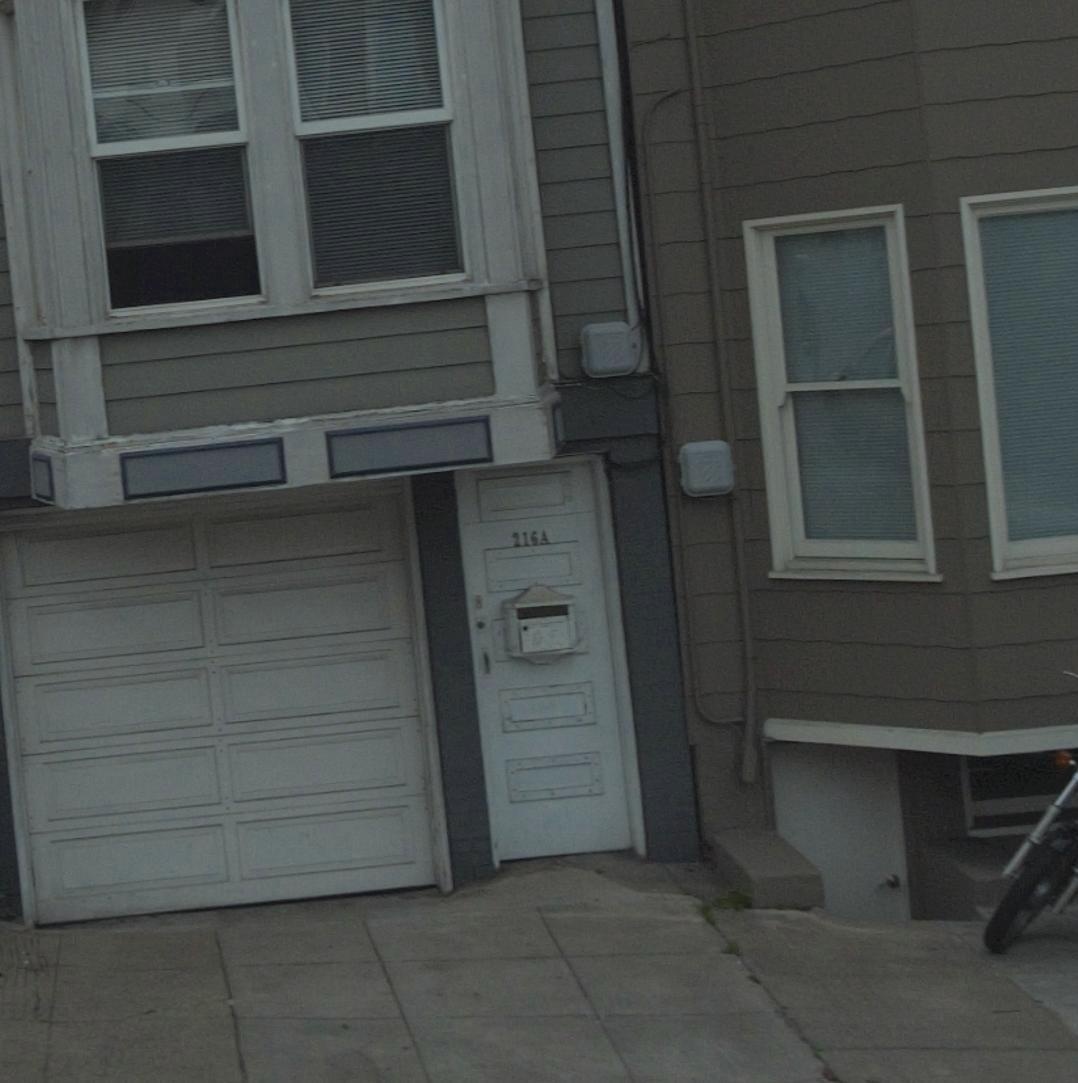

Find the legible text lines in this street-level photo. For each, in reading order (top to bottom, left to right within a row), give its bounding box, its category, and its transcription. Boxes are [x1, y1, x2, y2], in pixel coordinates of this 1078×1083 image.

[511, 528, 549, 548] StreetNumber: 216A